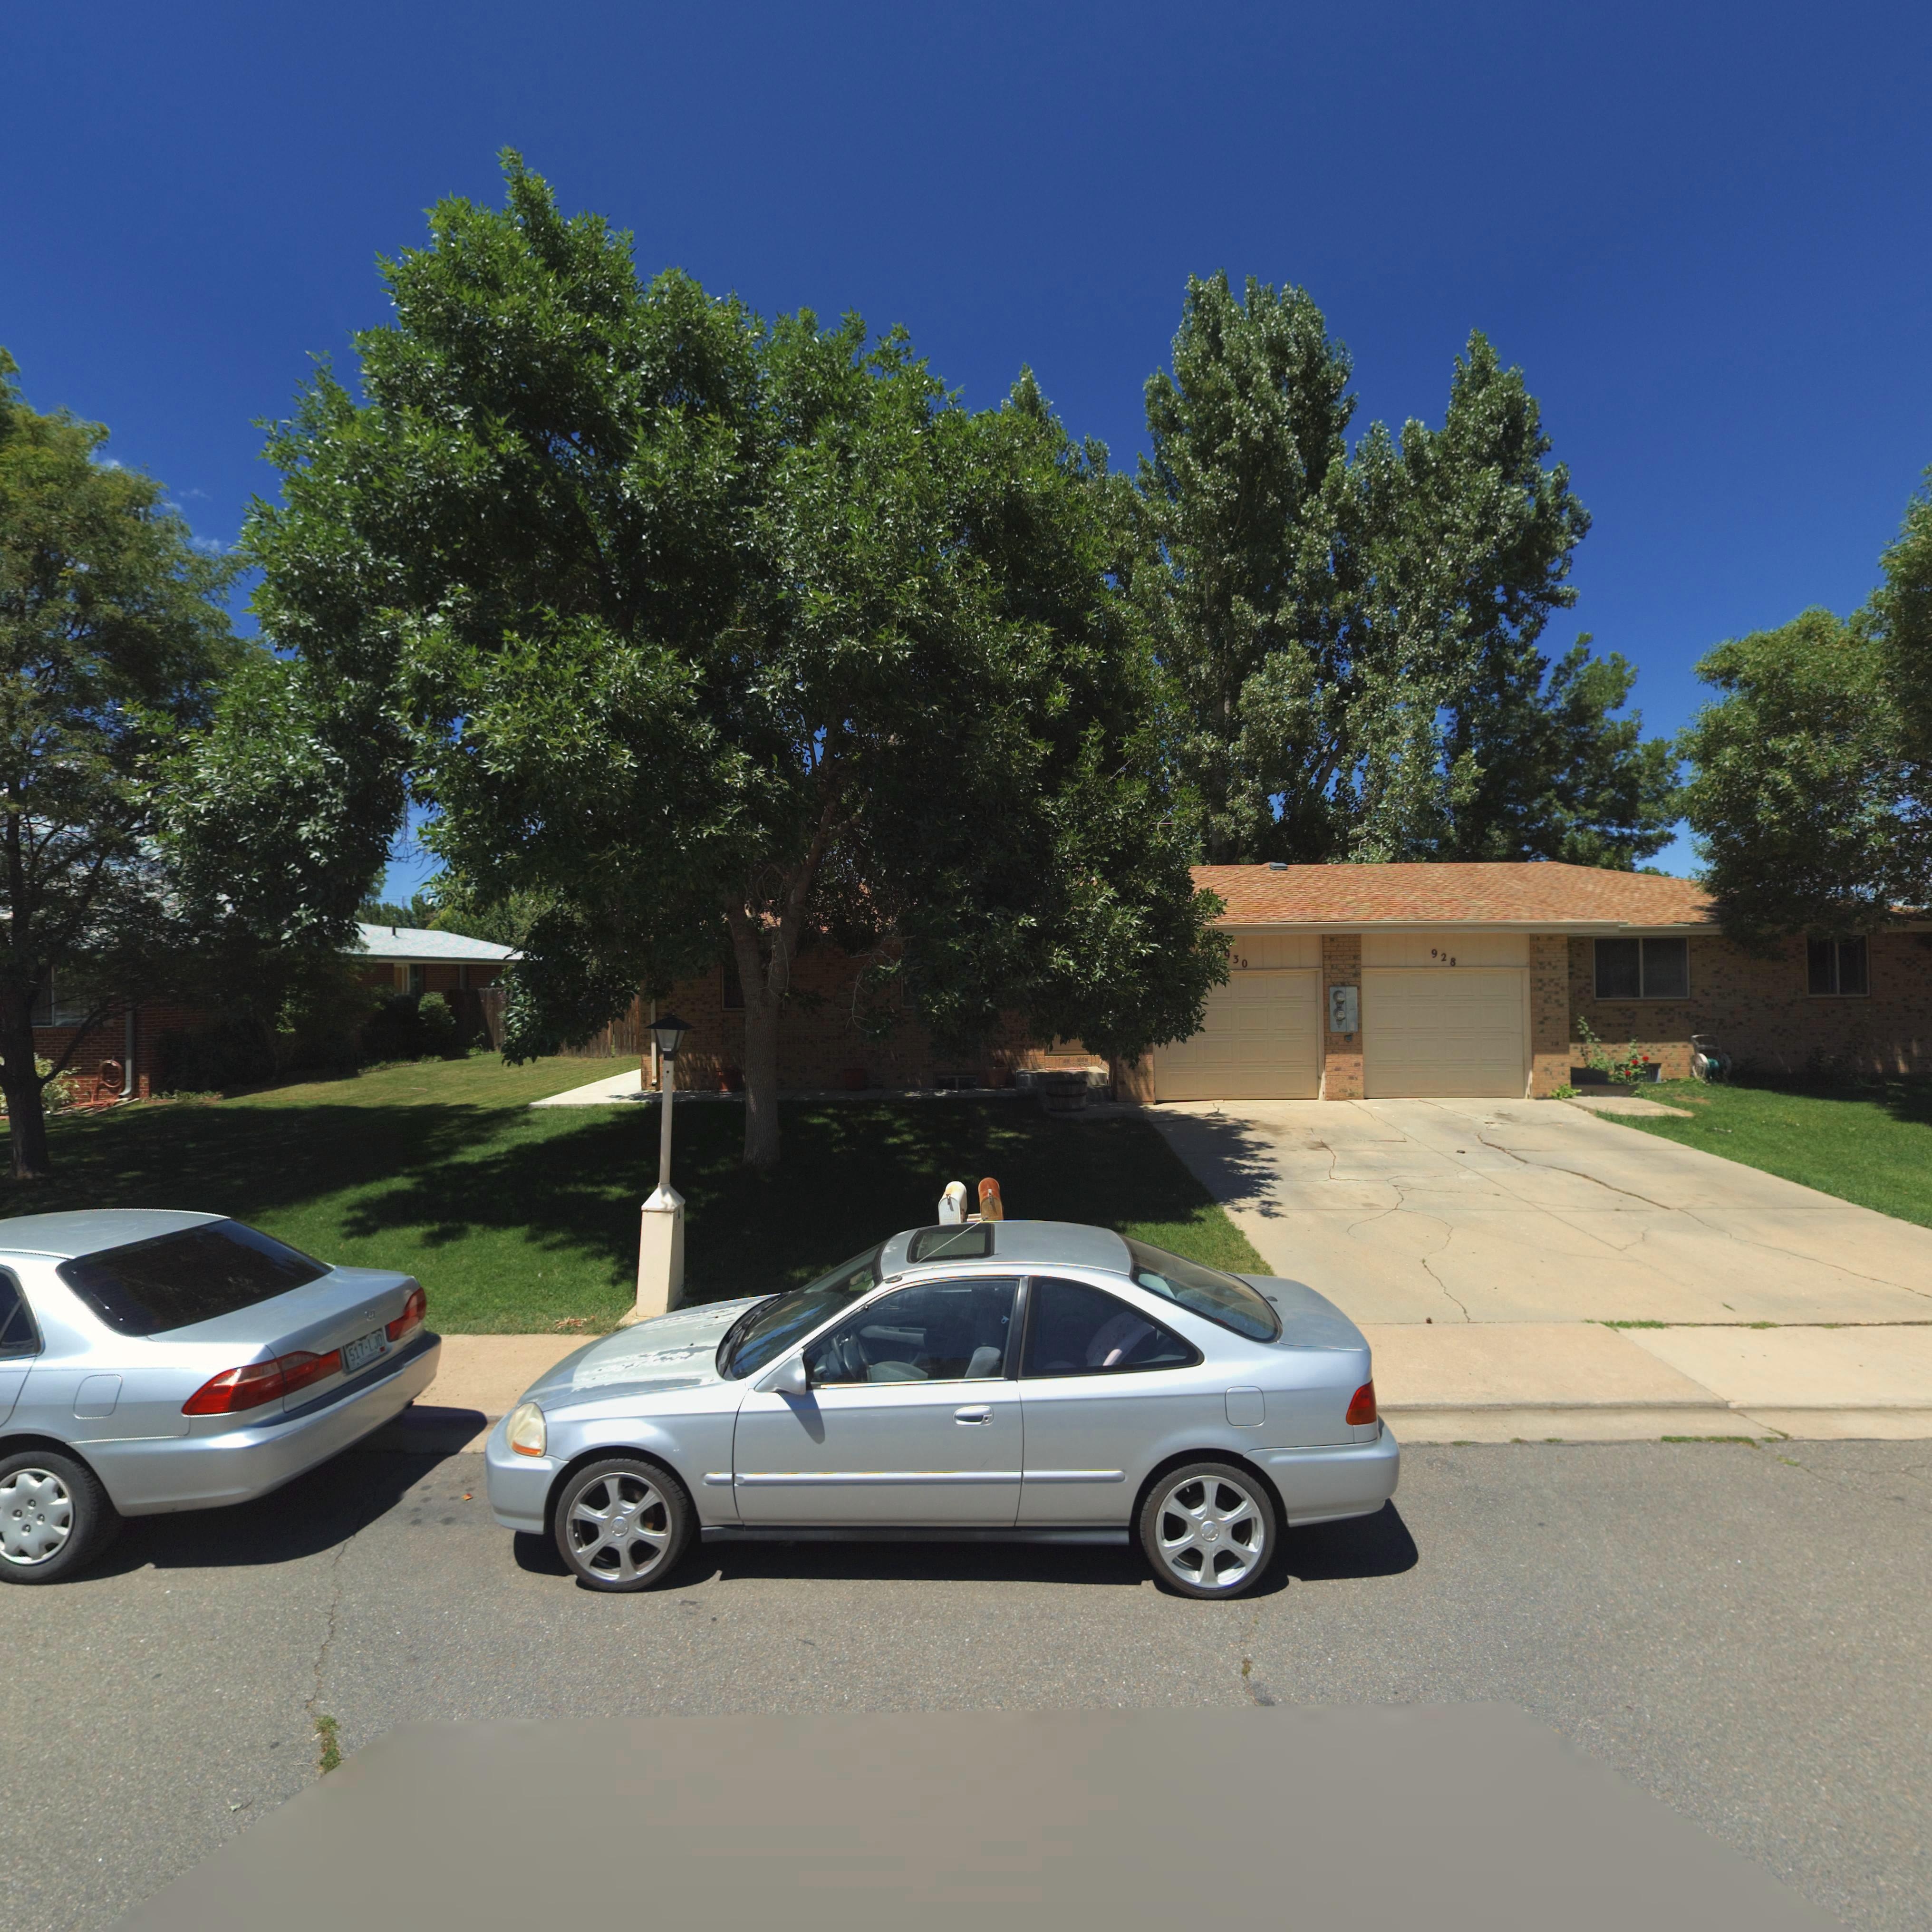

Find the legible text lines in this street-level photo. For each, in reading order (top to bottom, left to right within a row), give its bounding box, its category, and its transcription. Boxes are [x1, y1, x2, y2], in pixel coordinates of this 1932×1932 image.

[1224, 949, 1247, 968] StreetNumber: 930
[1431, 948, 1456, 966] StreetNumber: 928